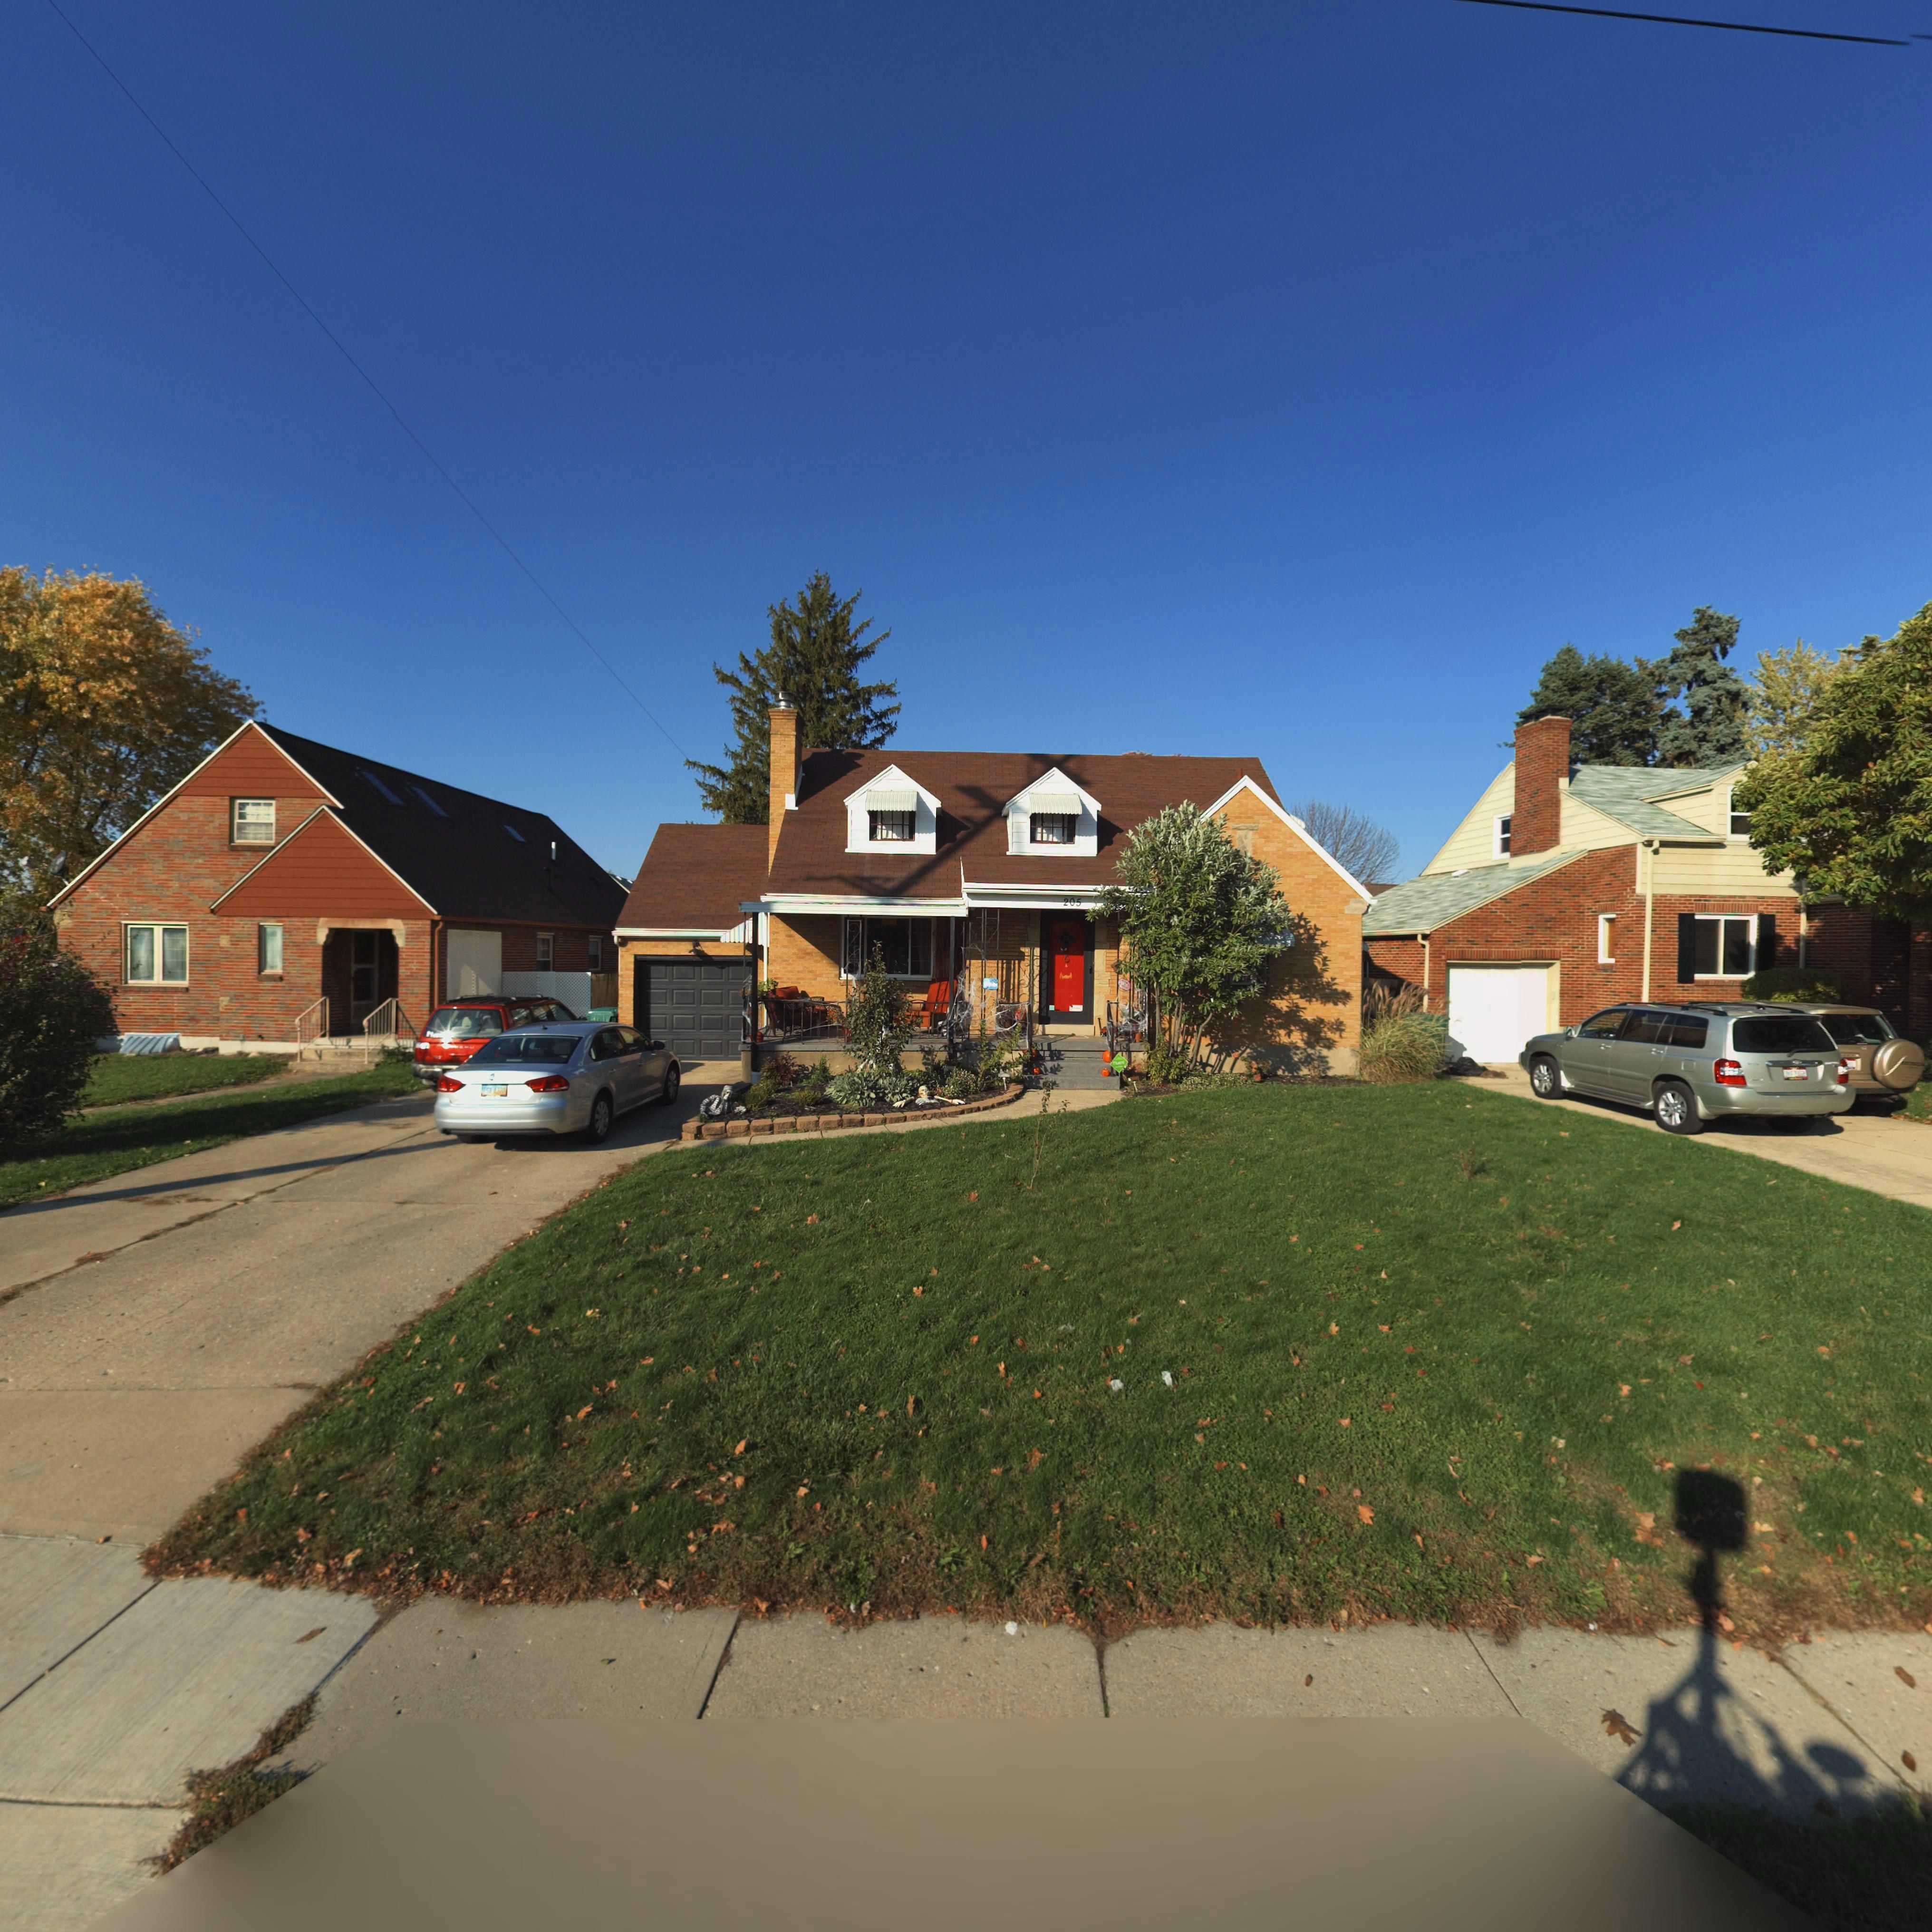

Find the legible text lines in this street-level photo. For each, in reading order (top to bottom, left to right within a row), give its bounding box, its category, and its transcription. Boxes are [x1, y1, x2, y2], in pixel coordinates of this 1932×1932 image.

[1062, 897, 1082, 908] StreetNumber: 205